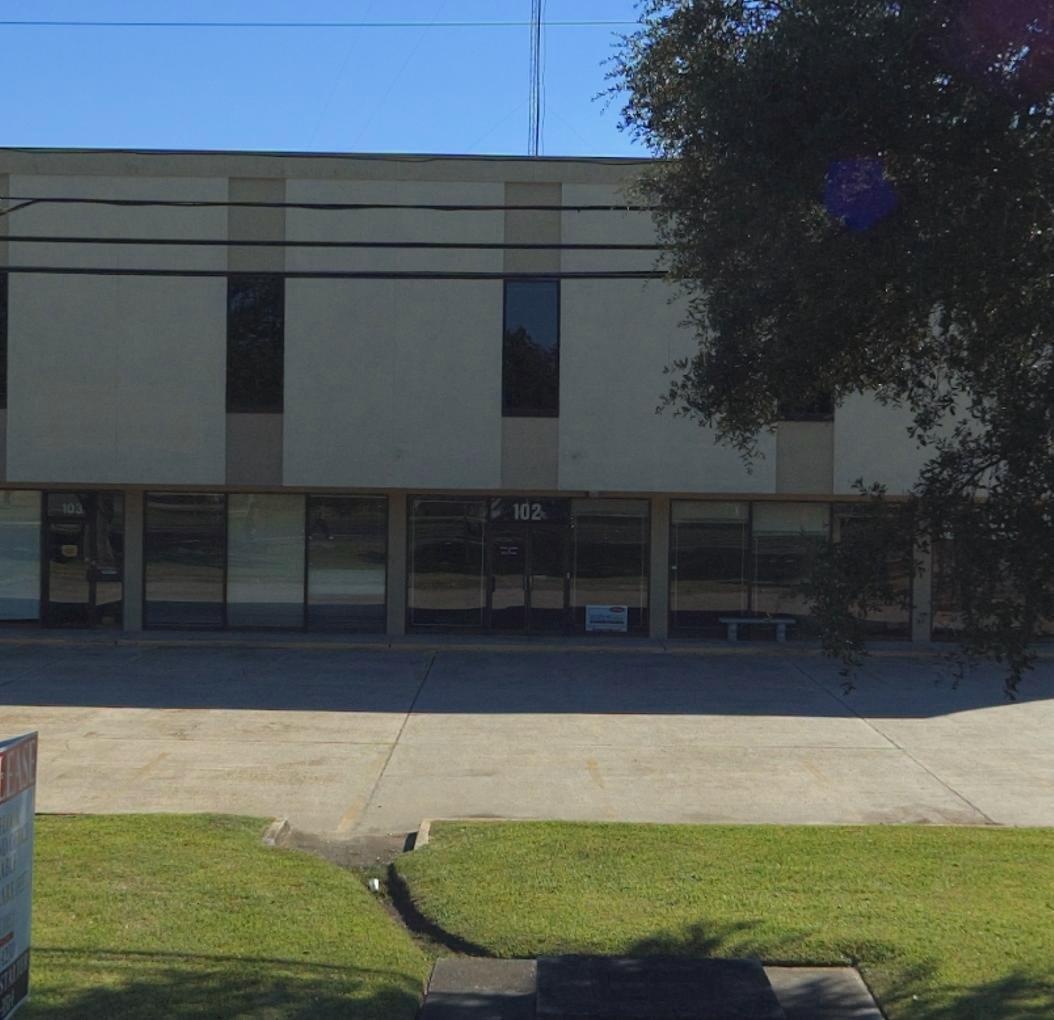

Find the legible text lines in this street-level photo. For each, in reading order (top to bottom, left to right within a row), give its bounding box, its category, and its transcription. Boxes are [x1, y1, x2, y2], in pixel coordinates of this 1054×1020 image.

[512, 502, 542, 521] StreetNumber: 102
[5, 736, 38, 801] None: EASE